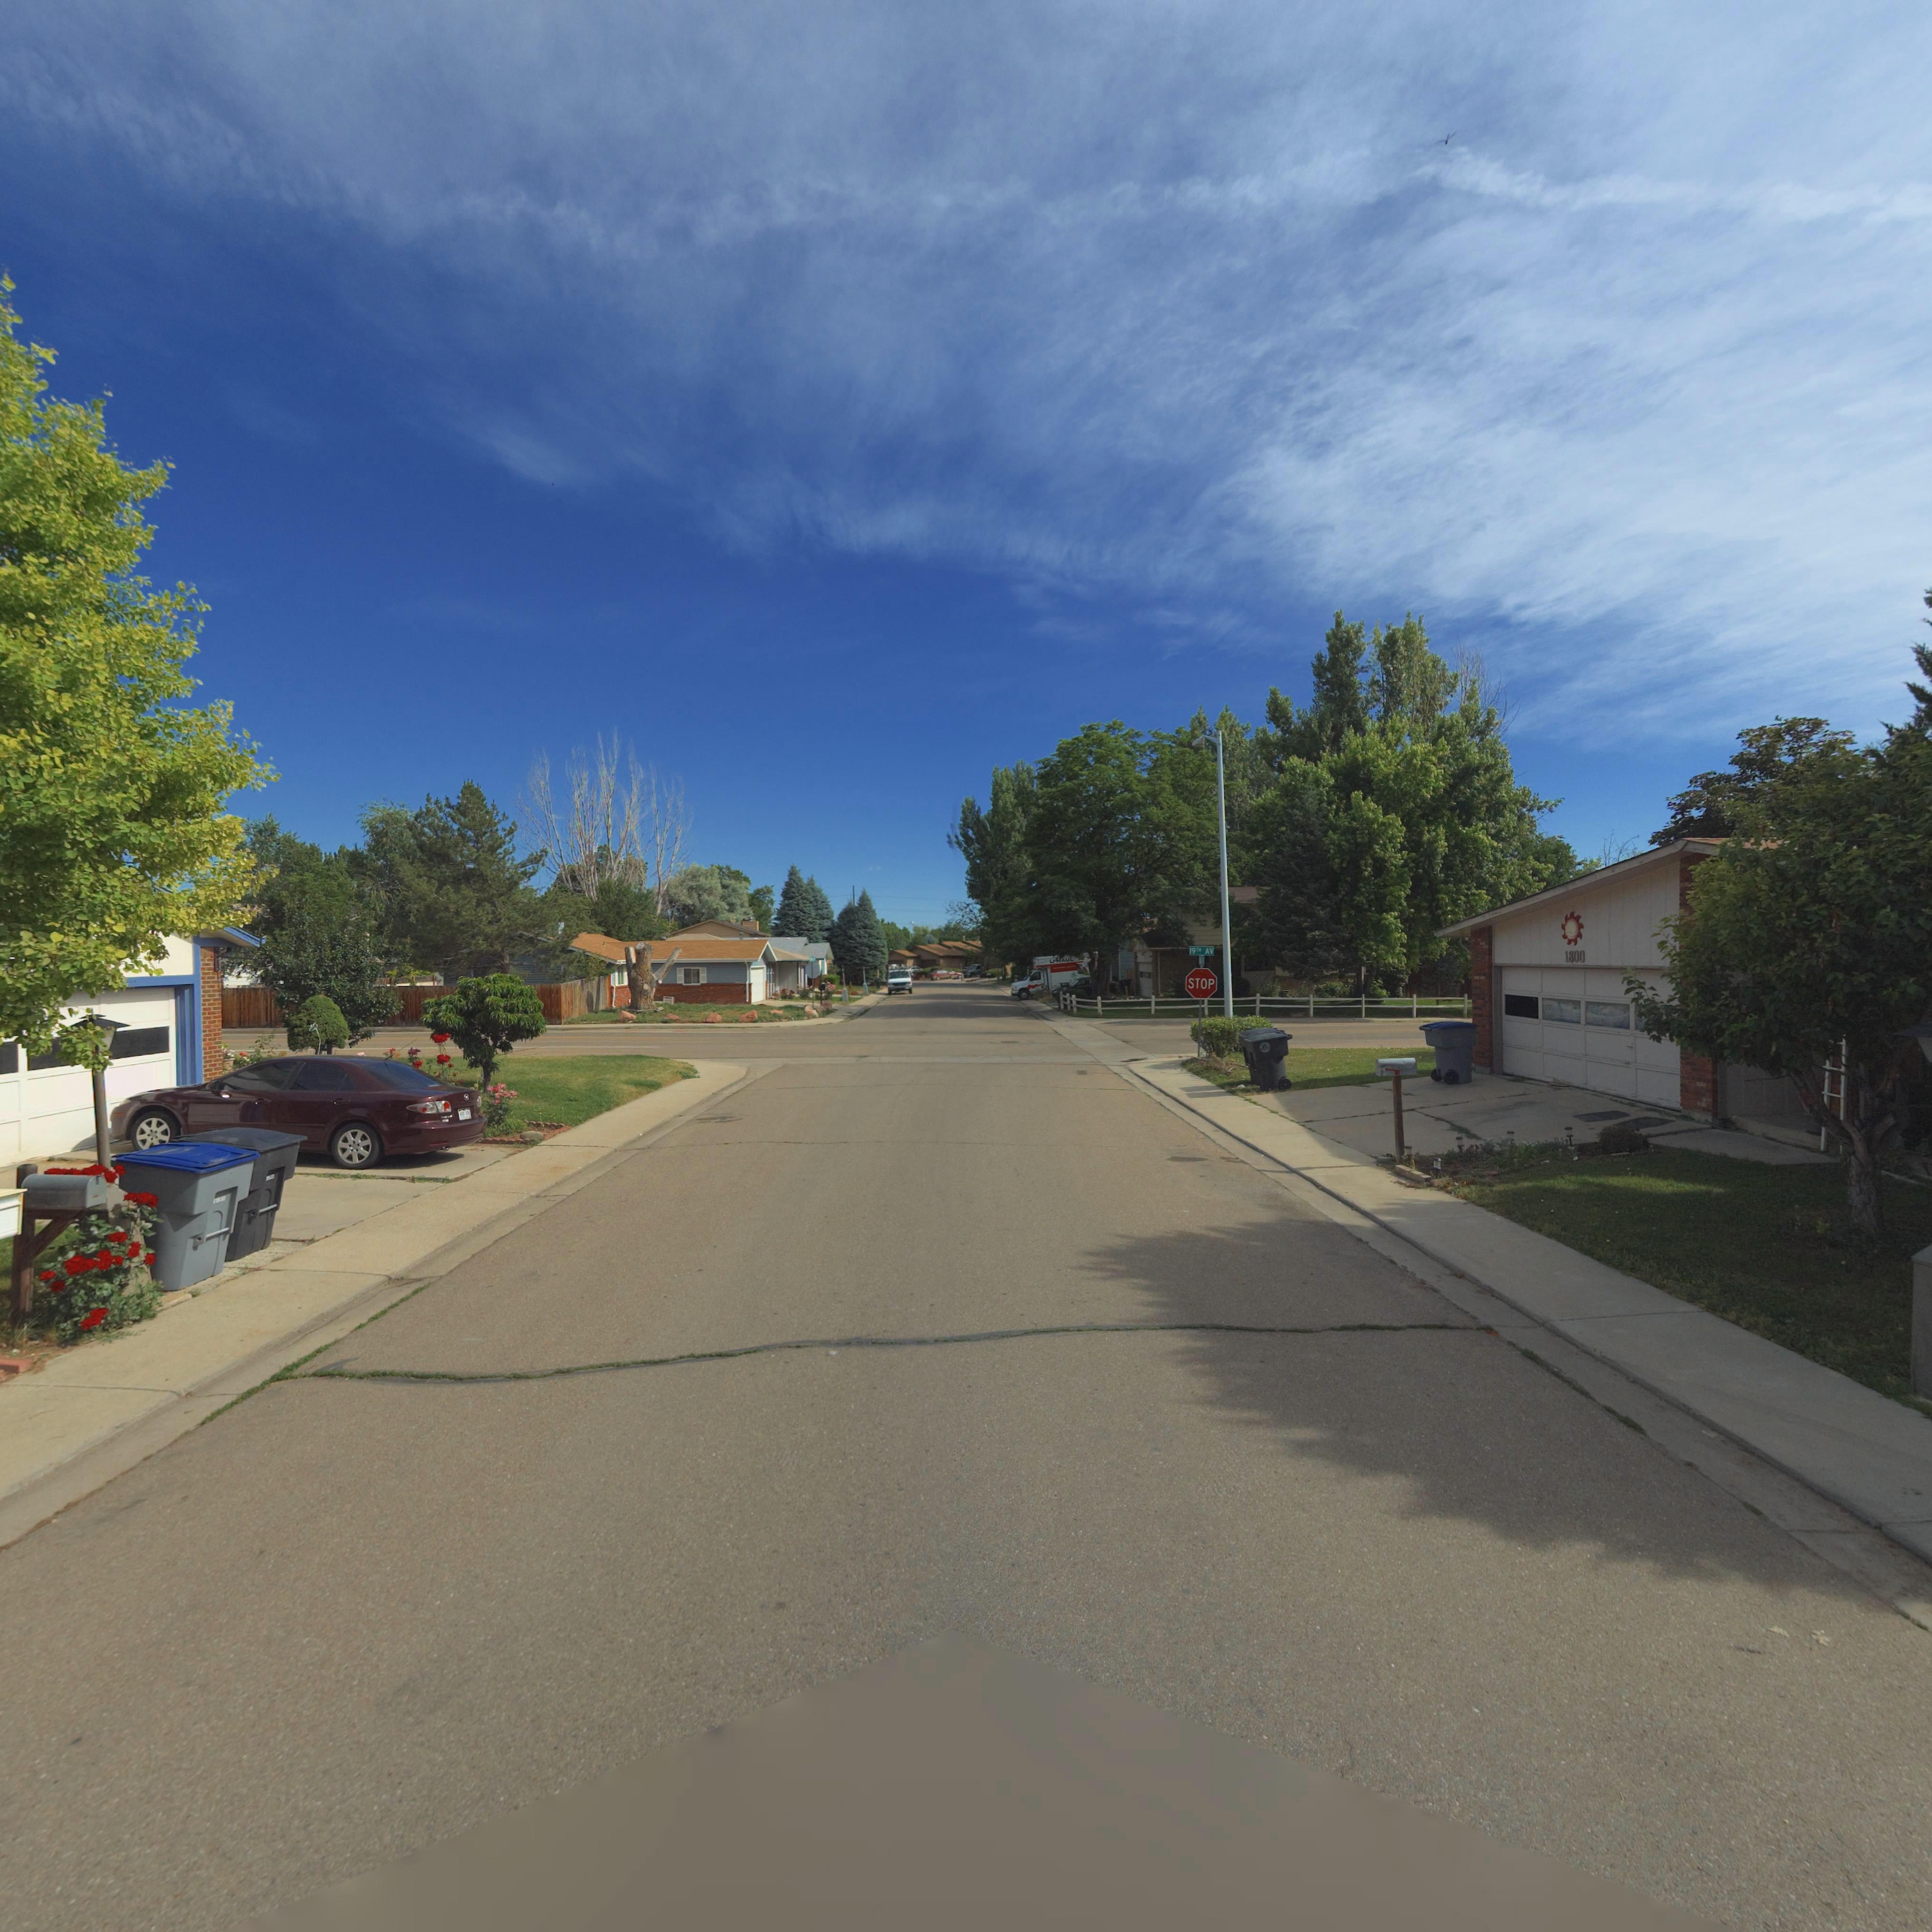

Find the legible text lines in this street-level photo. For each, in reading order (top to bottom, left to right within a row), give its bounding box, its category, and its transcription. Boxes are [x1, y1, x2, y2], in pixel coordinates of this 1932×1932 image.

[1189, 947, 1214, 955] StreetName: 19TH AV
[1564, 949, 1585, 963] StreetNumber: 1800